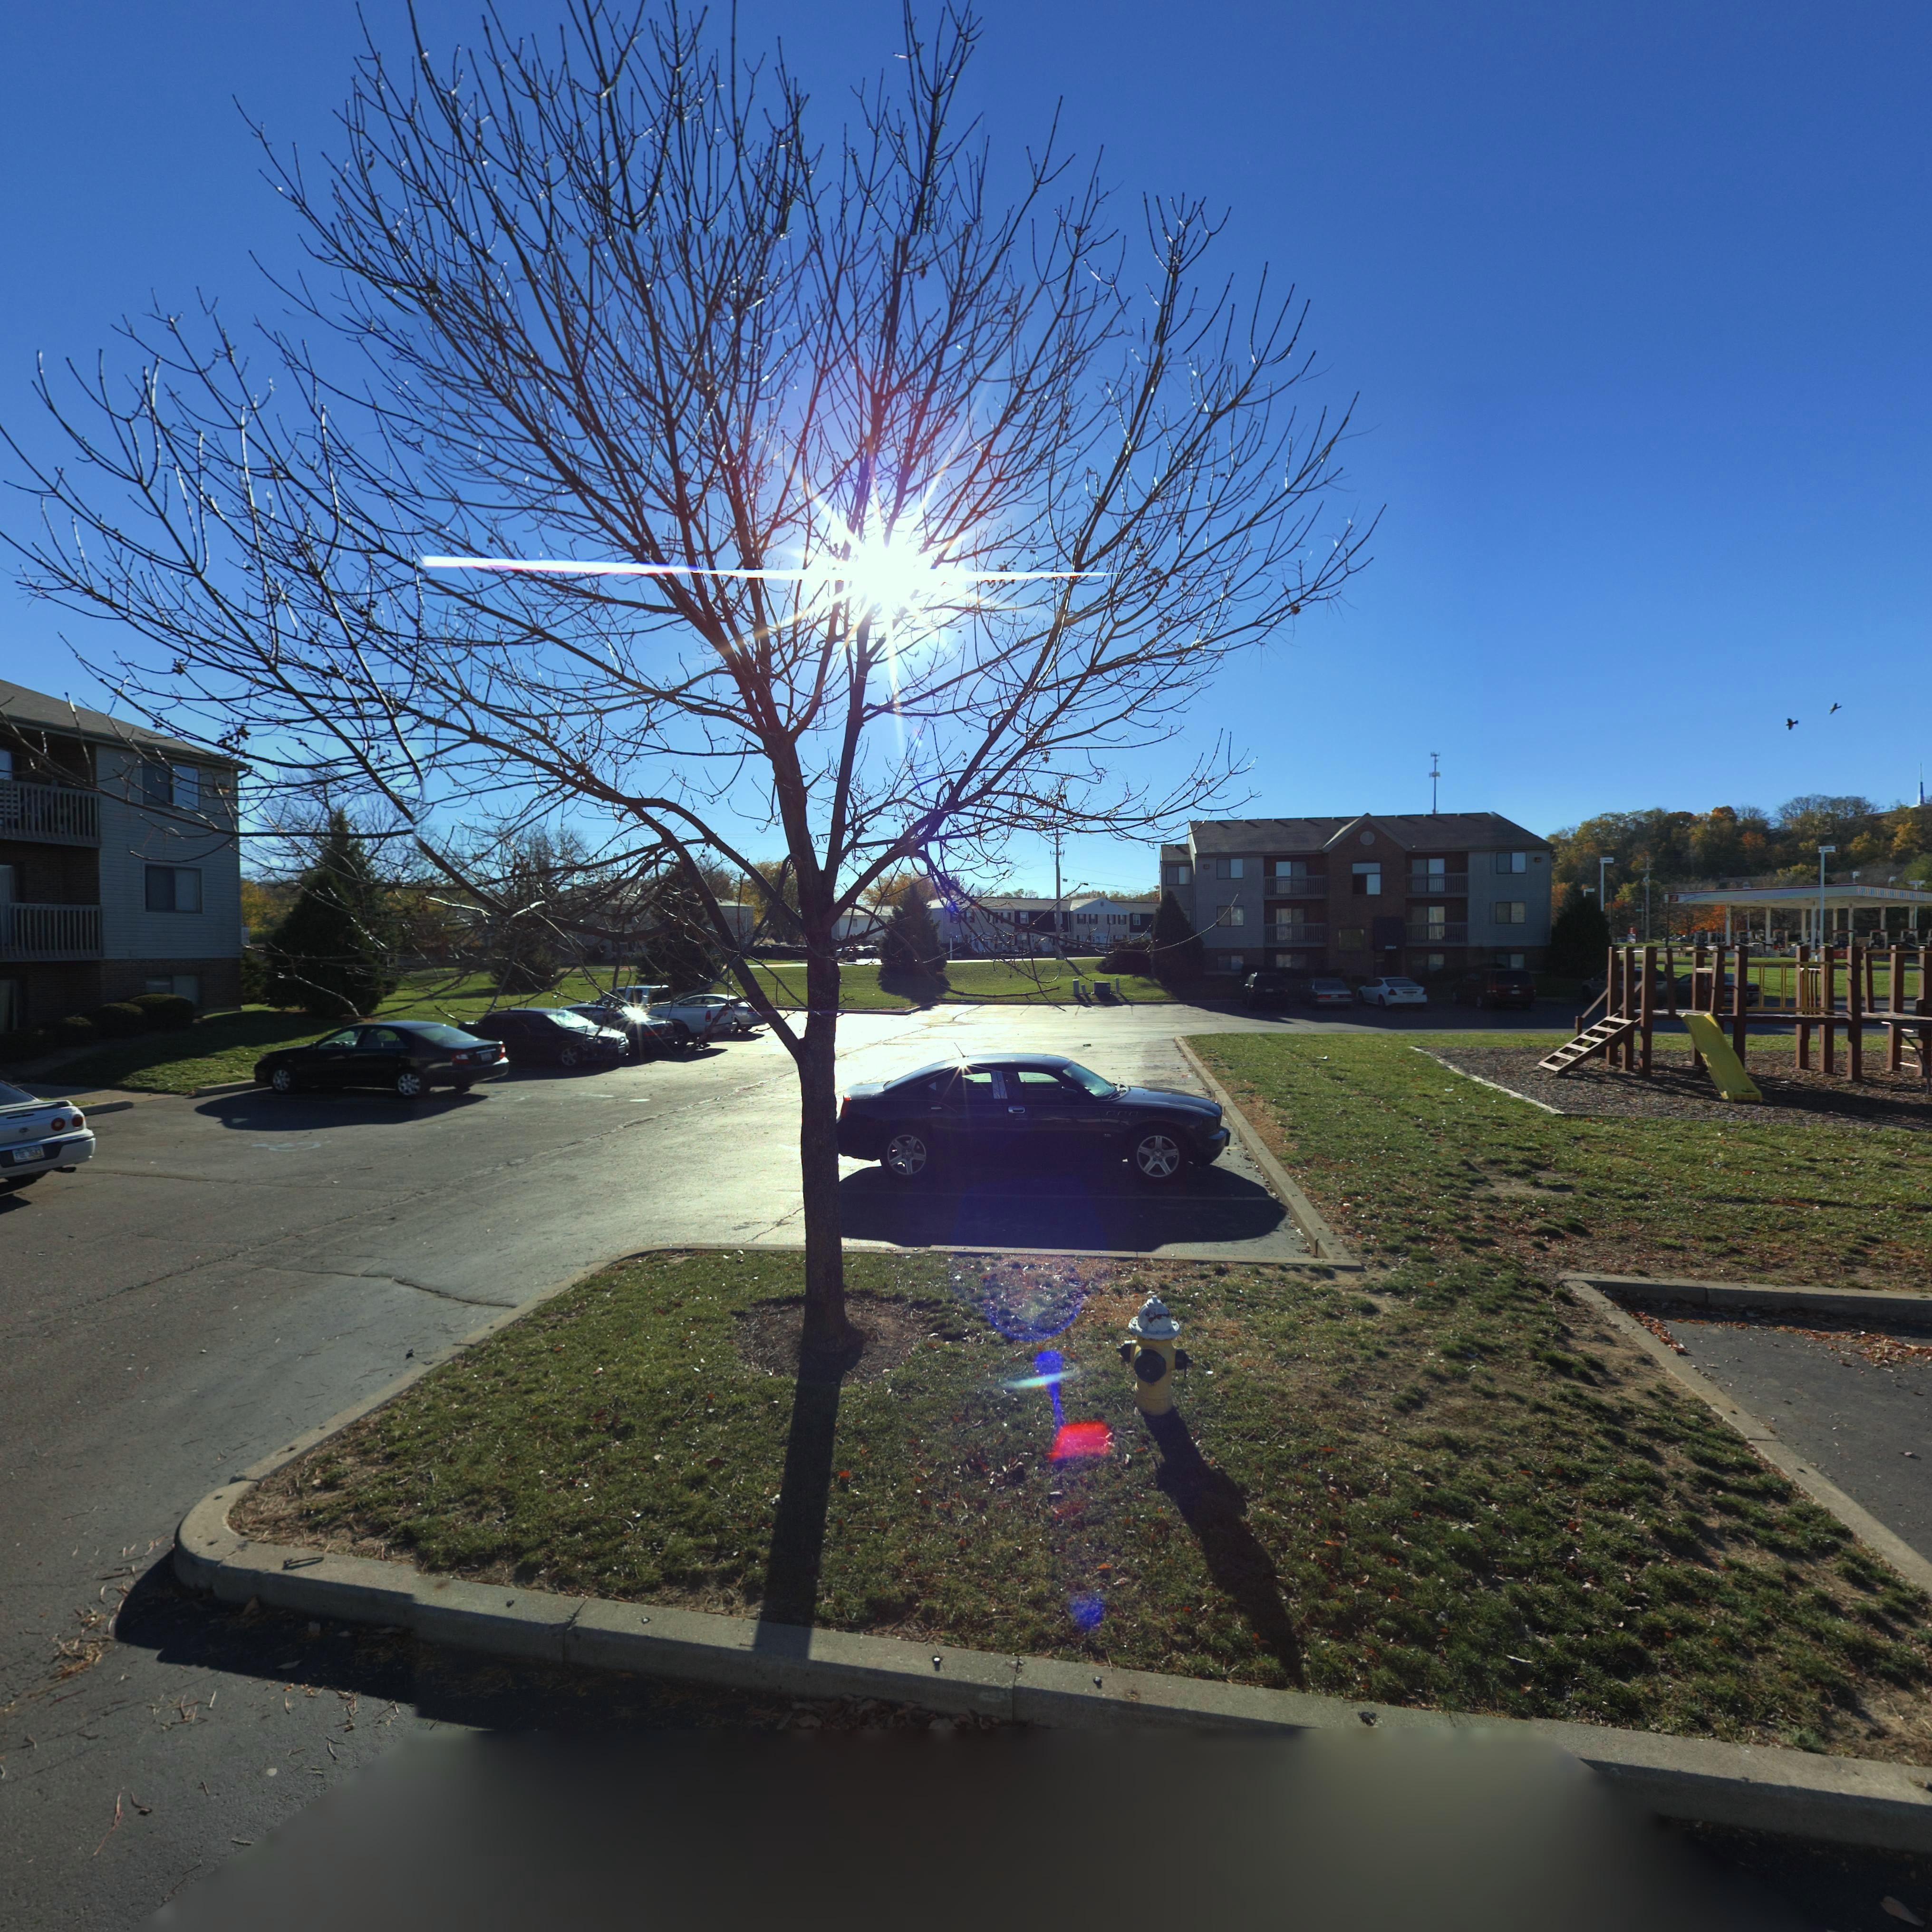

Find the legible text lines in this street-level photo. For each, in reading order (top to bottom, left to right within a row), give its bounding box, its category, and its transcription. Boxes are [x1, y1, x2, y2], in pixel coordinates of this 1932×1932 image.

[1384, 945, 1396, 949] StreetNumber: 2***